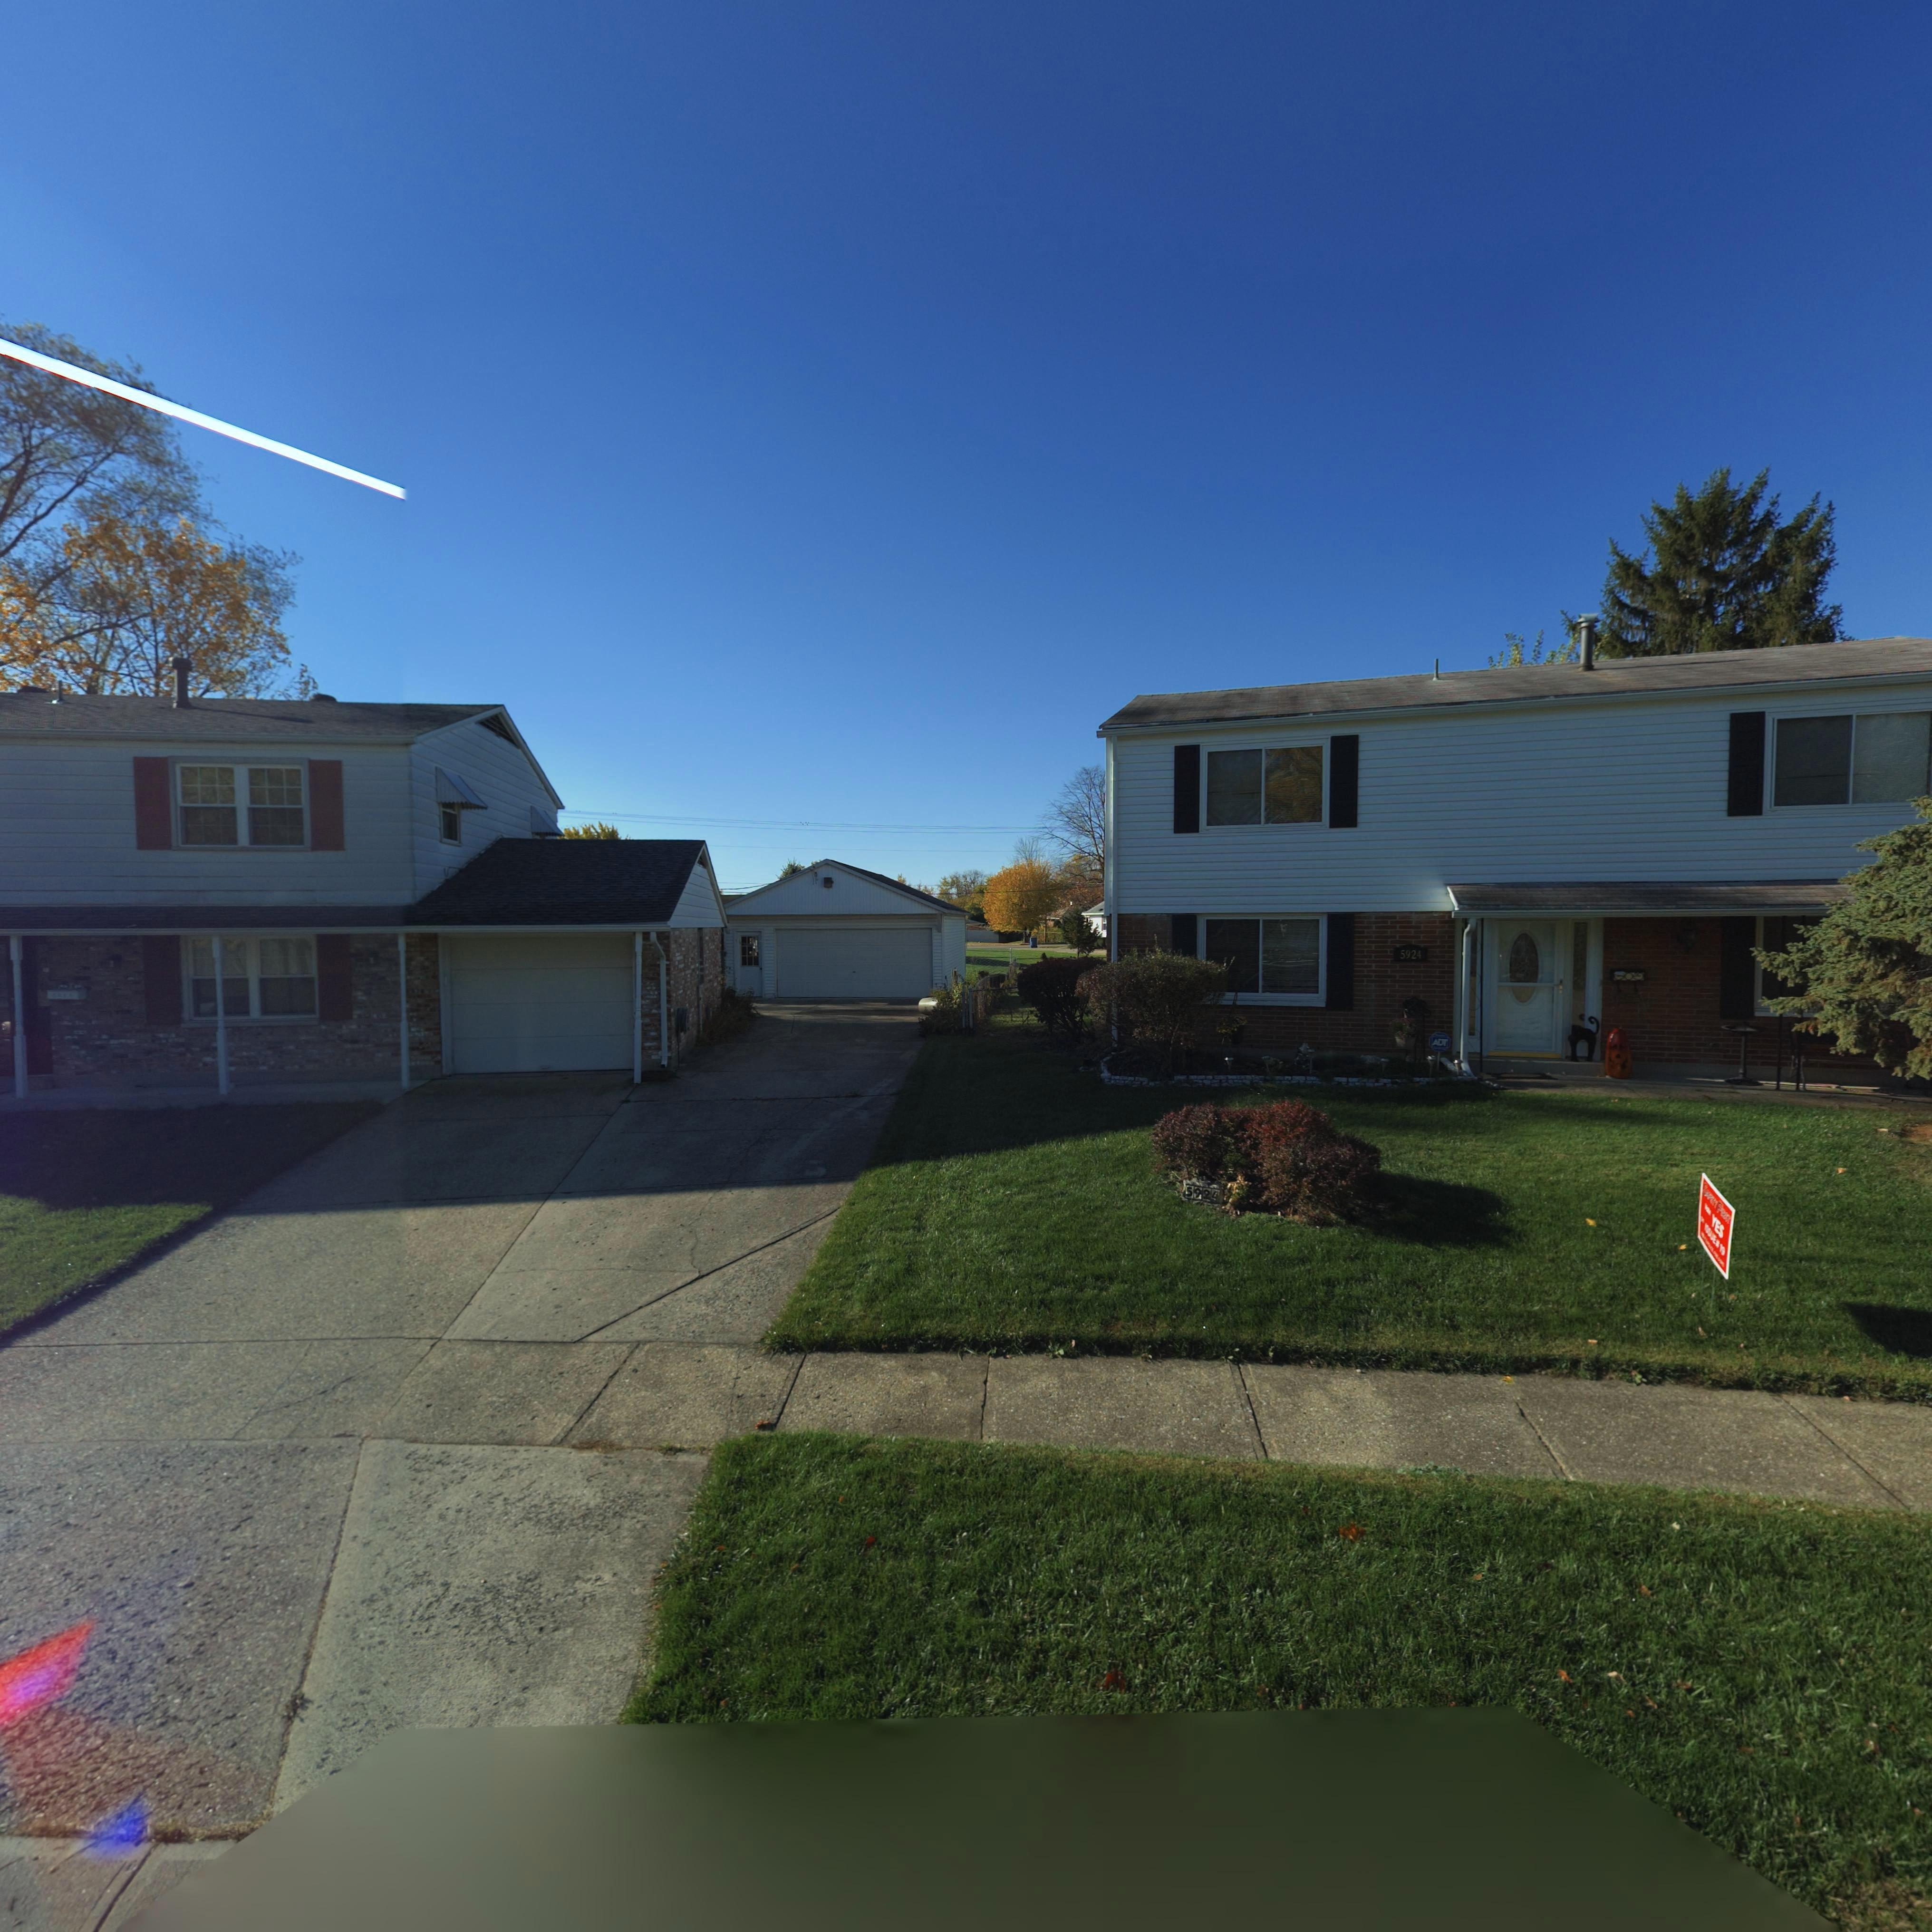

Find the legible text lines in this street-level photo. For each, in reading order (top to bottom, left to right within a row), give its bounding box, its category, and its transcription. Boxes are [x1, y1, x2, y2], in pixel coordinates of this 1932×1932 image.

[1399, 949, 1423, 960] StreetNumber: 5924